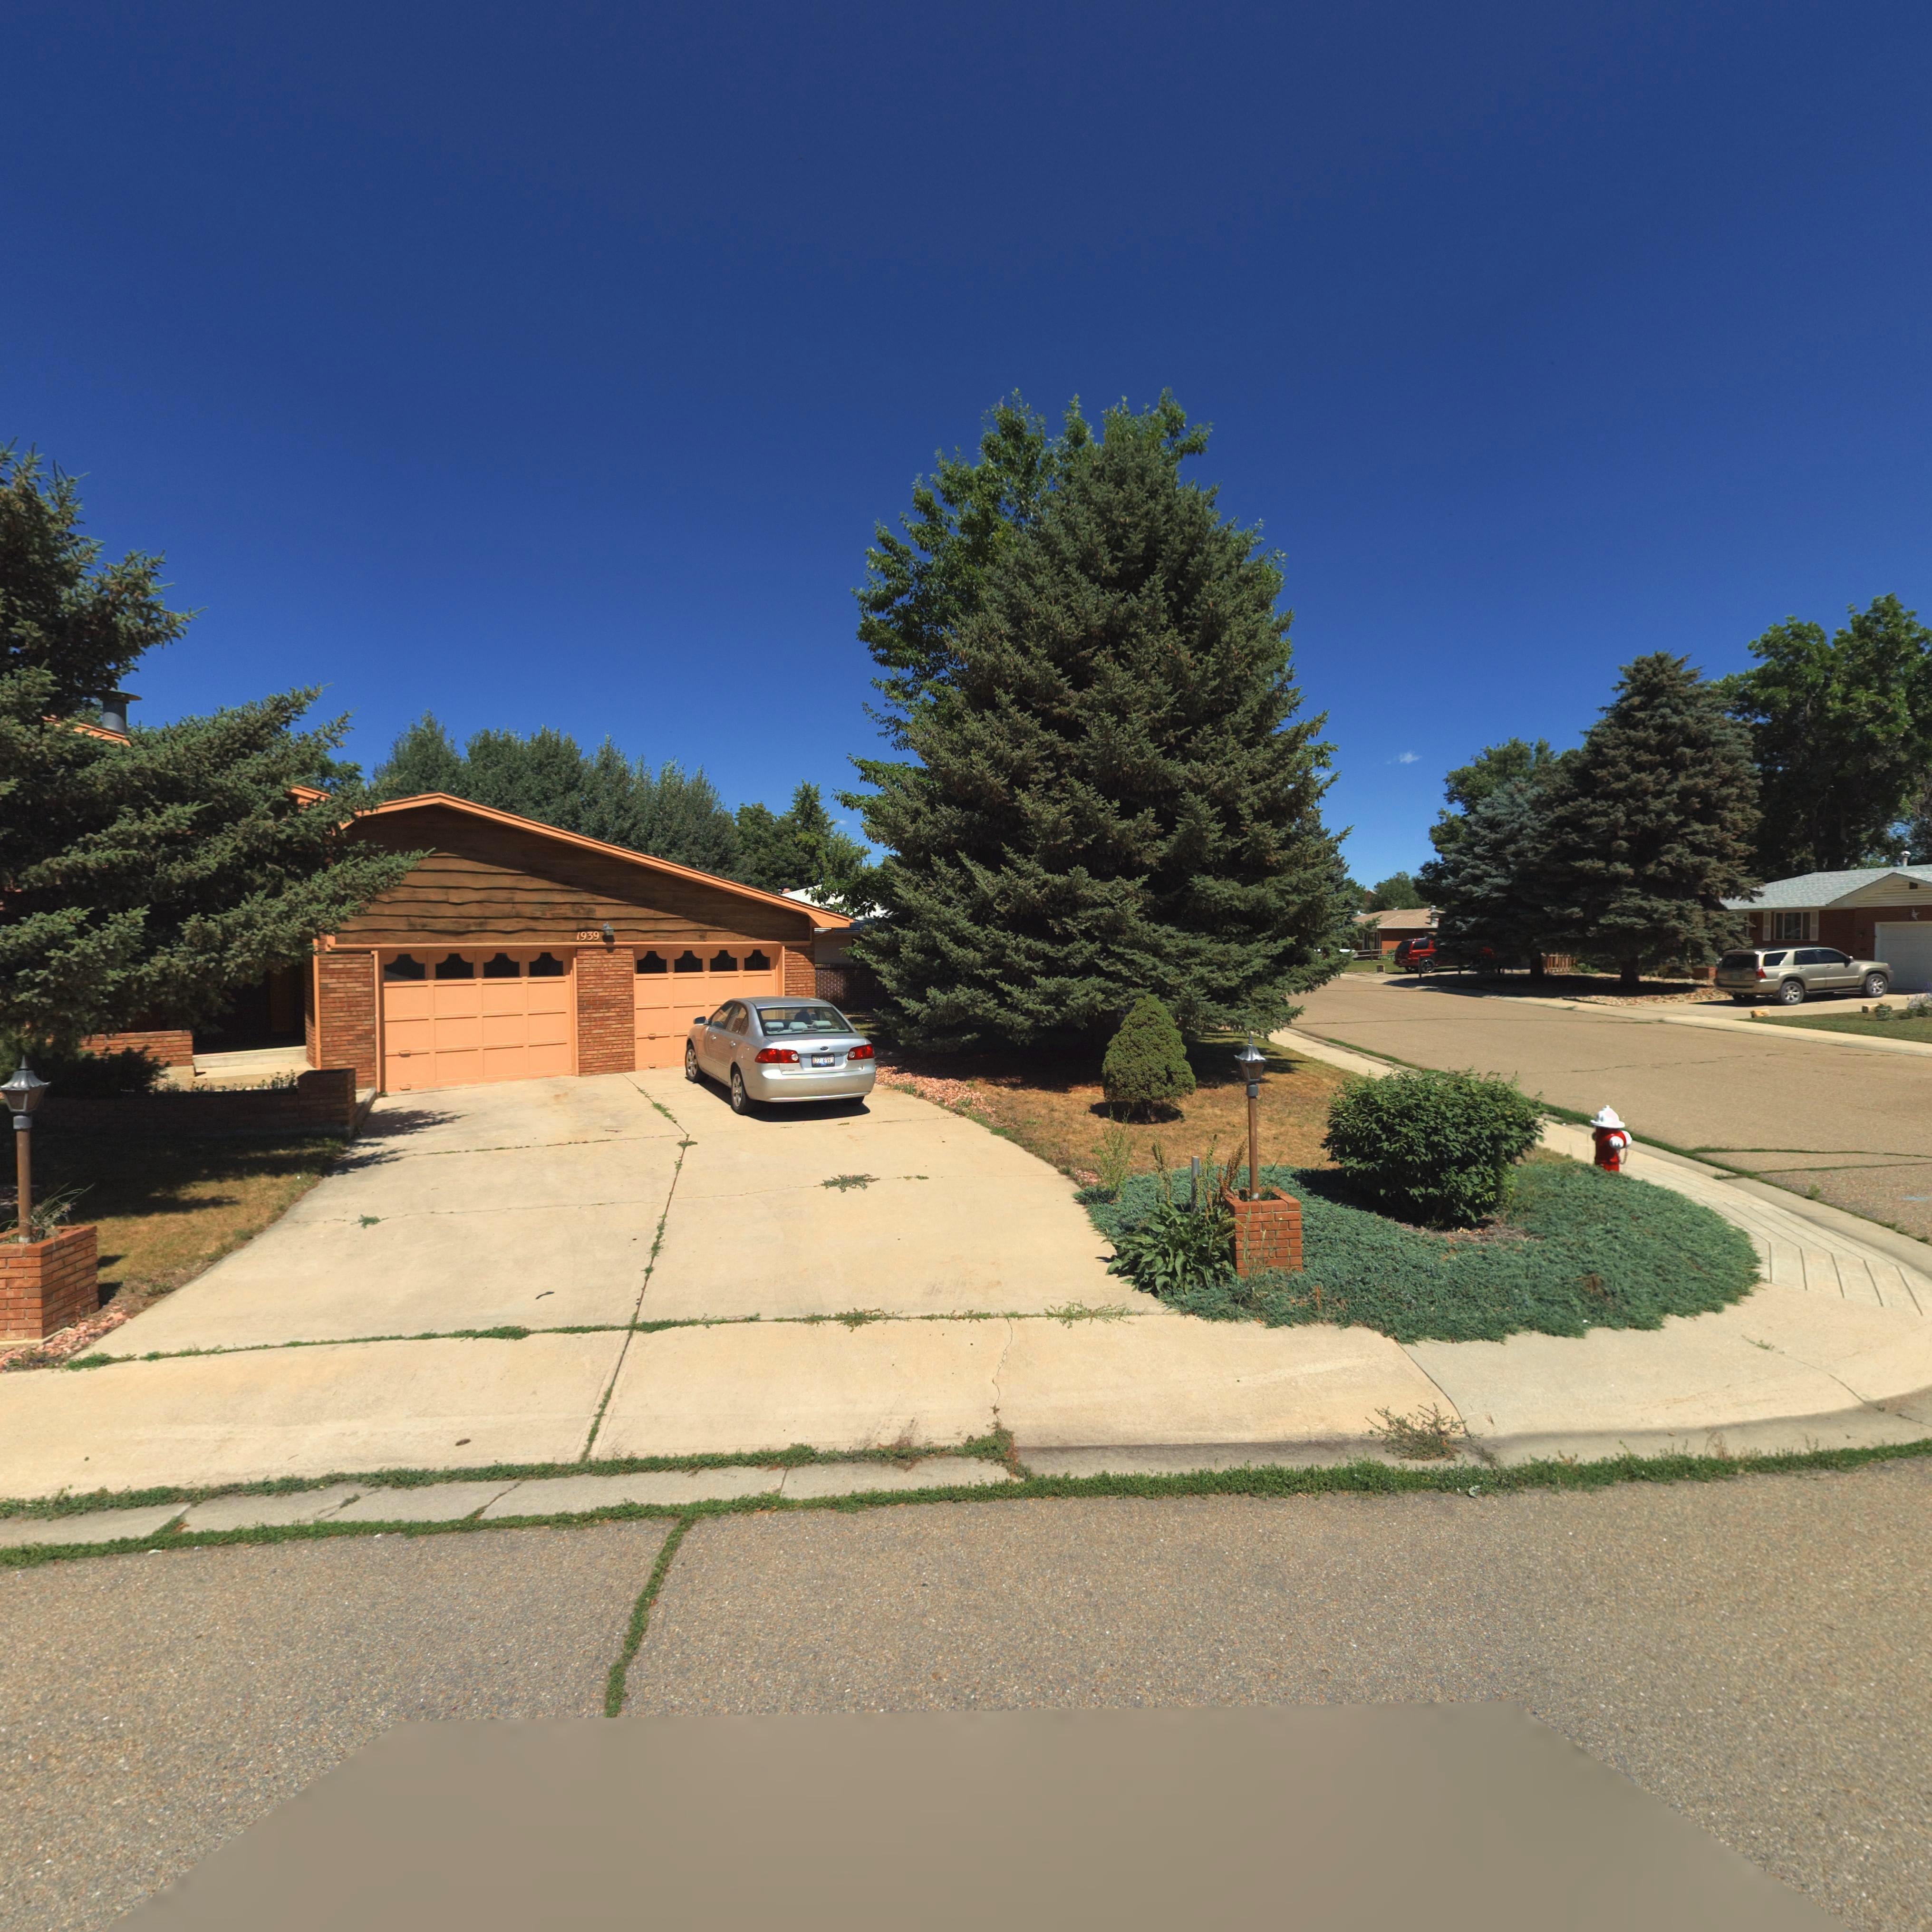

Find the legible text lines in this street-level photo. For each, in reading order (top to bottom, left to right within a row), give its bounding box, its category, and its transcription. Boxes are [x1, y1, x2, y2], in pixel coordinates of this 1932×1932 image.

[576, 931, 599, 941] StreetNumber: 1939